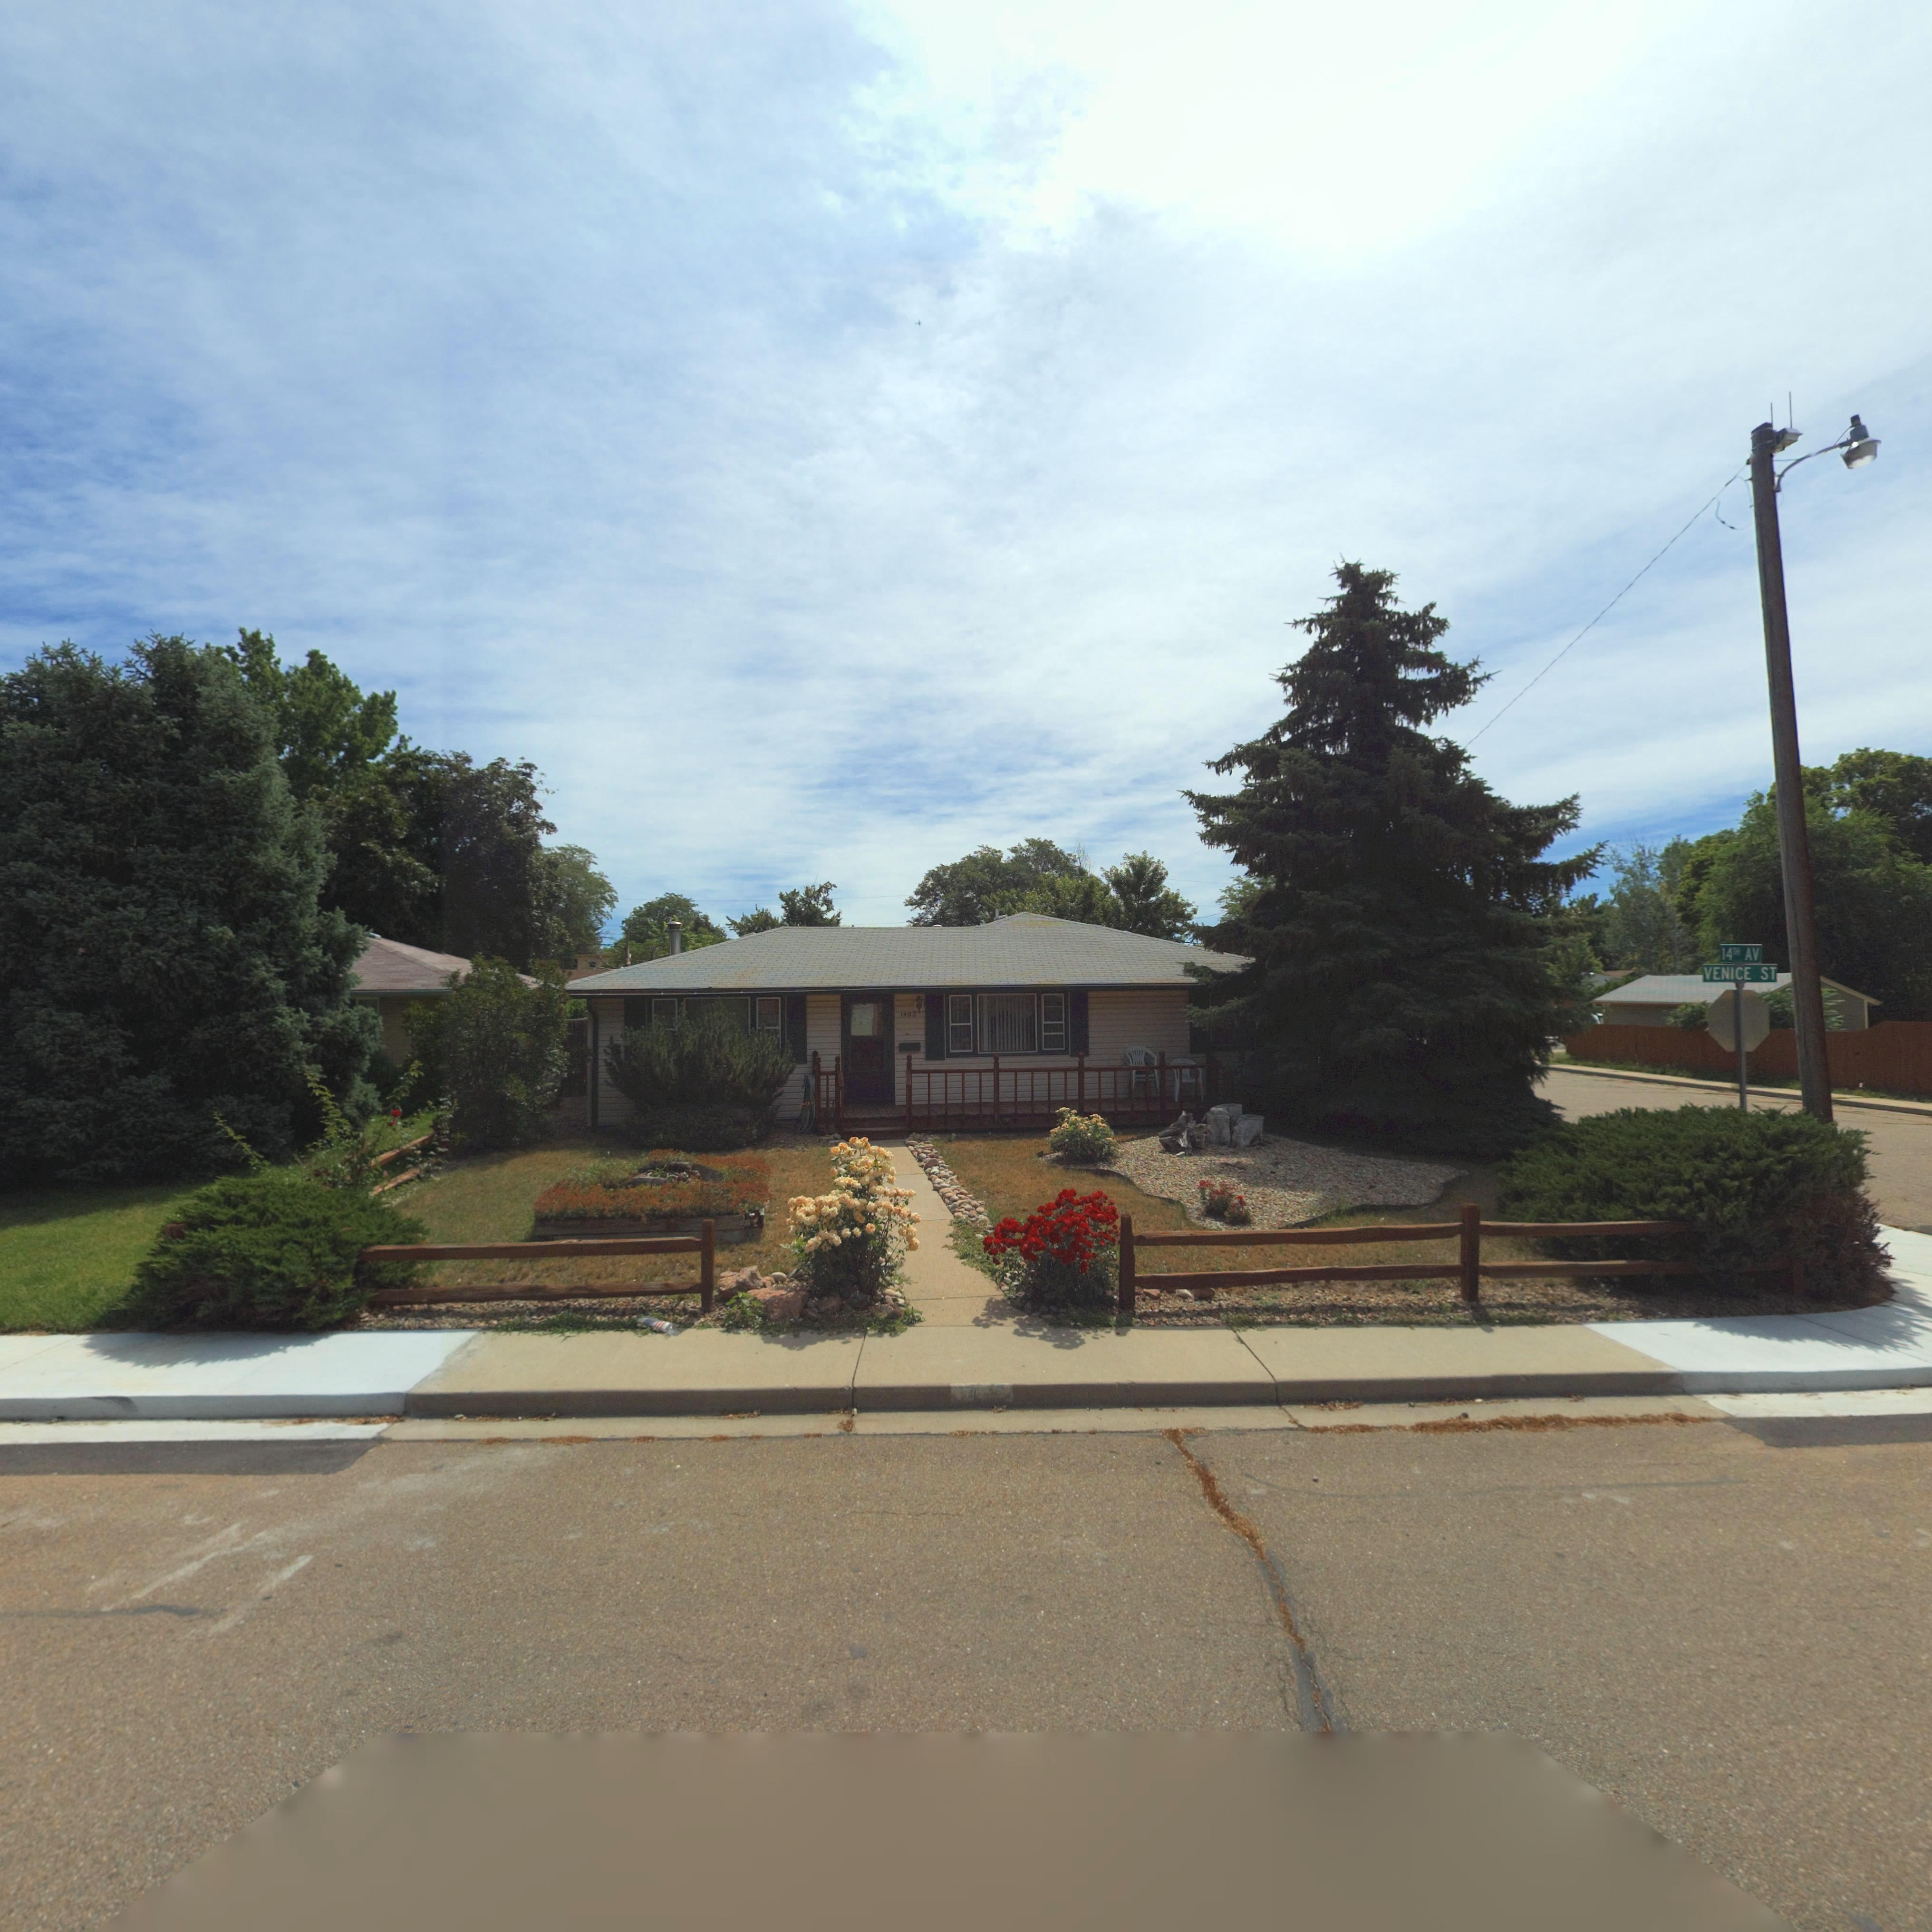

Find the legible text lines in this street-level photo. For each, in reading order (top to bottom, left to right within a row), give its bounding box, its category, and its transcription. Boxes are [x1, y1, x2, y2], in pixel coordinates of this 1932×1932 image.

[1722, 947, 1760, 961] StreetName: 14TH AV
[1704, 966, 1777, 980] StreetName: VENICE ST
[900, 1011, 916, 1017] StreetNumber: 1402